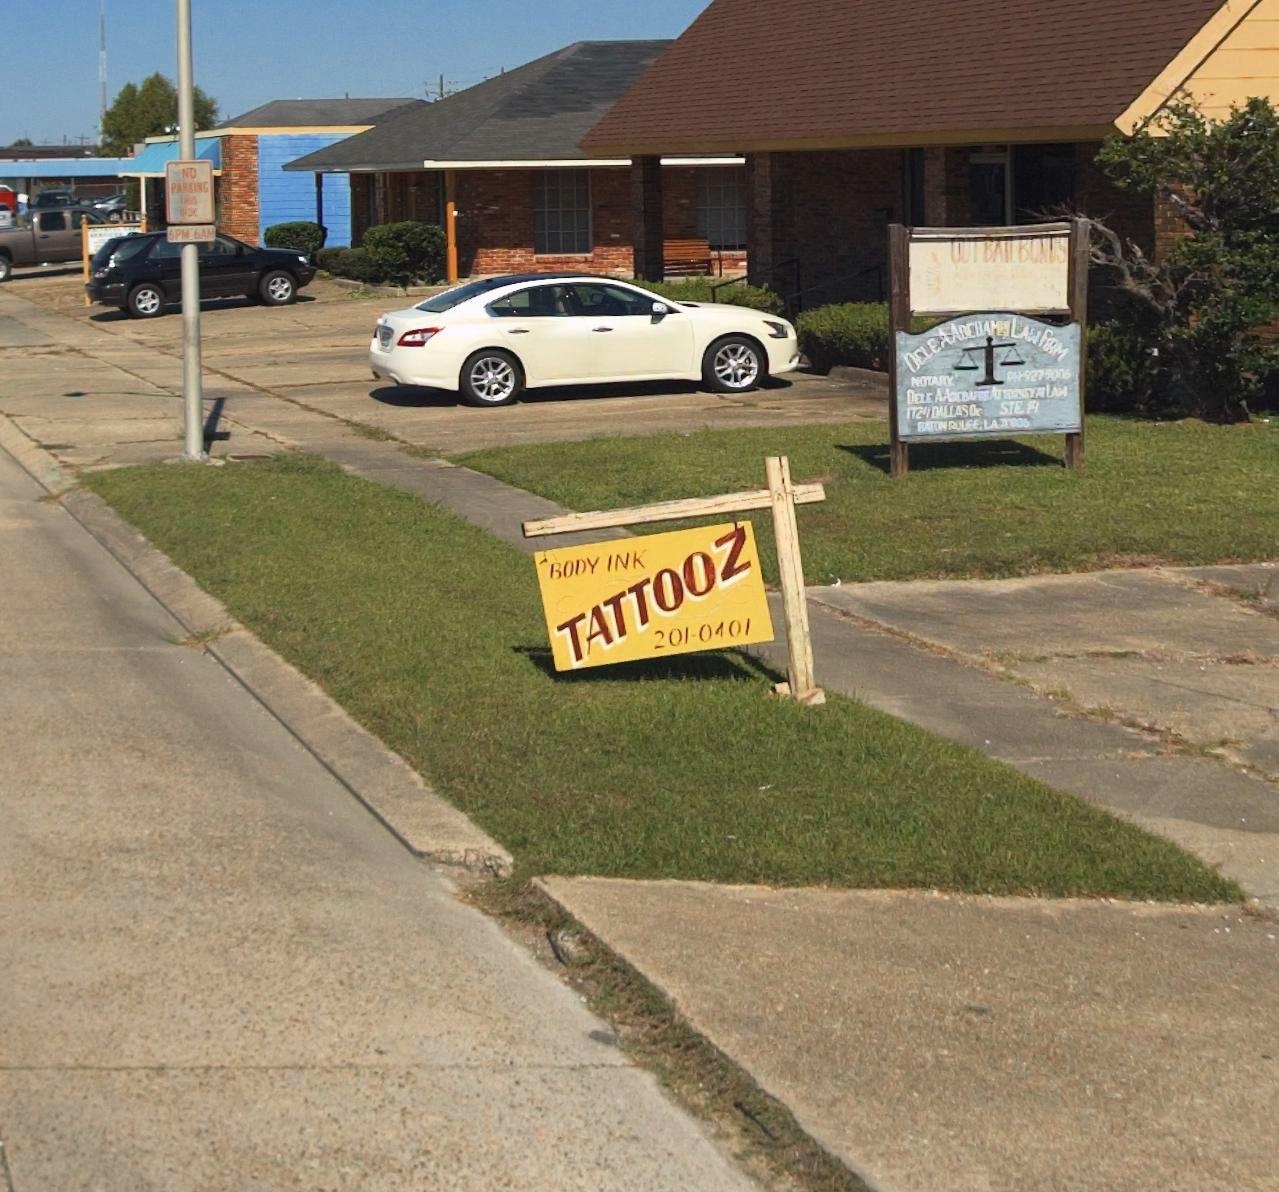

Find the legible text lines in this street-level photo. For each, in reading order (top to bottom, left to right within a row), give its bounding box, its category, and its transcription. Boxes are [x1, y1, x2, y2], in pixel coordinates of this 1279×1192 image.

[179, 165, 200, 181] None: NO
[168, 179, 212, 197] None: PARKING
[167, 226, 216, 242] None: 6PM 6AM
[981, 231, 1072, 268] None: BAIL BONDS
[1007, 313, 1073, 366] None: Law Firm
[1044, 381, 1073, 401] None: Law
[902, 403, 934, 422] None: 1724
[930, 401, 986, 420] None: DALLAS Dr
[996, 398, 1043, 418] None: STE 1*
[915, 417, 1002, 435] None: BATON ROUGE, LA
[547, 545, 651, 583] BusinessName: BODY INK
[547, 520, 759, 674] None: TATTOOZ
[651, 614, 754, 654] None: 201-0401